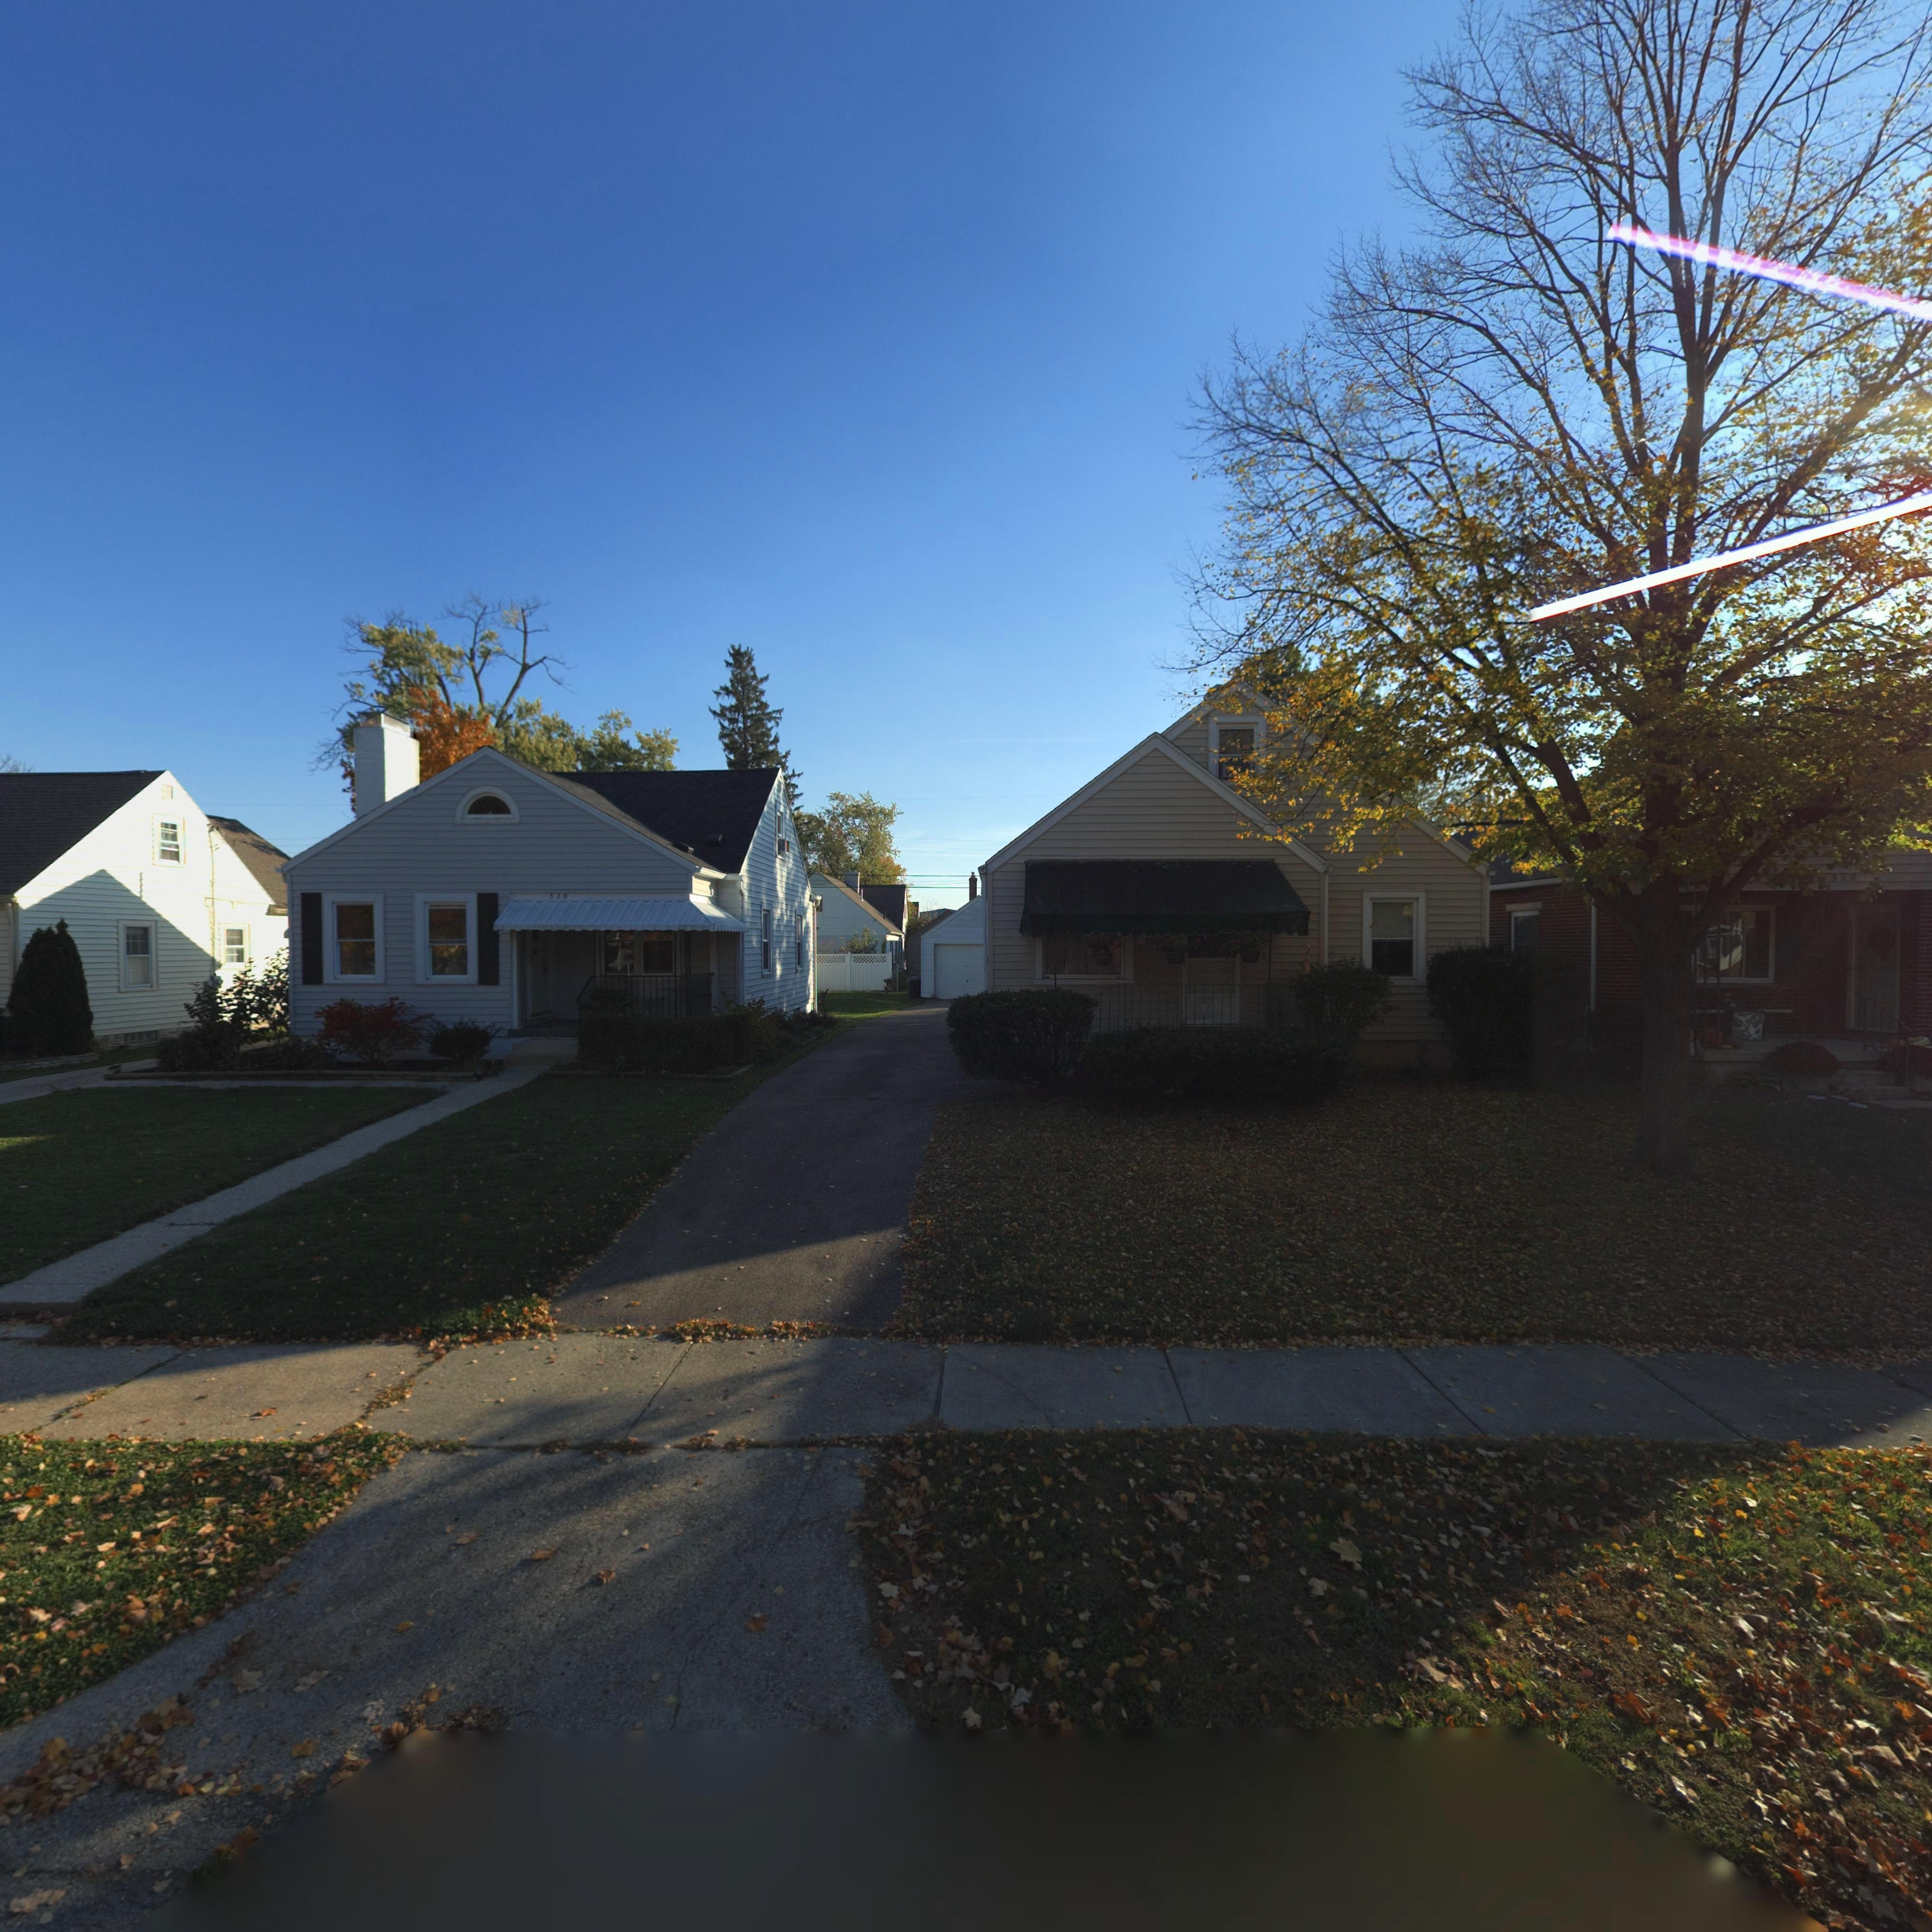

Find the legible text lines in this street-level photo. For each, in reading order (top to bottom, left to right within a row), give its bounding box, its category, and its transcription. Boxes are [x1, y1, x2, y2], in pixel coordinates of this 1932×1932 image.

[1830, 872, 1856, 882] StreetNumber: 320
[548, 892, 568, 899] StreetNumber: 328